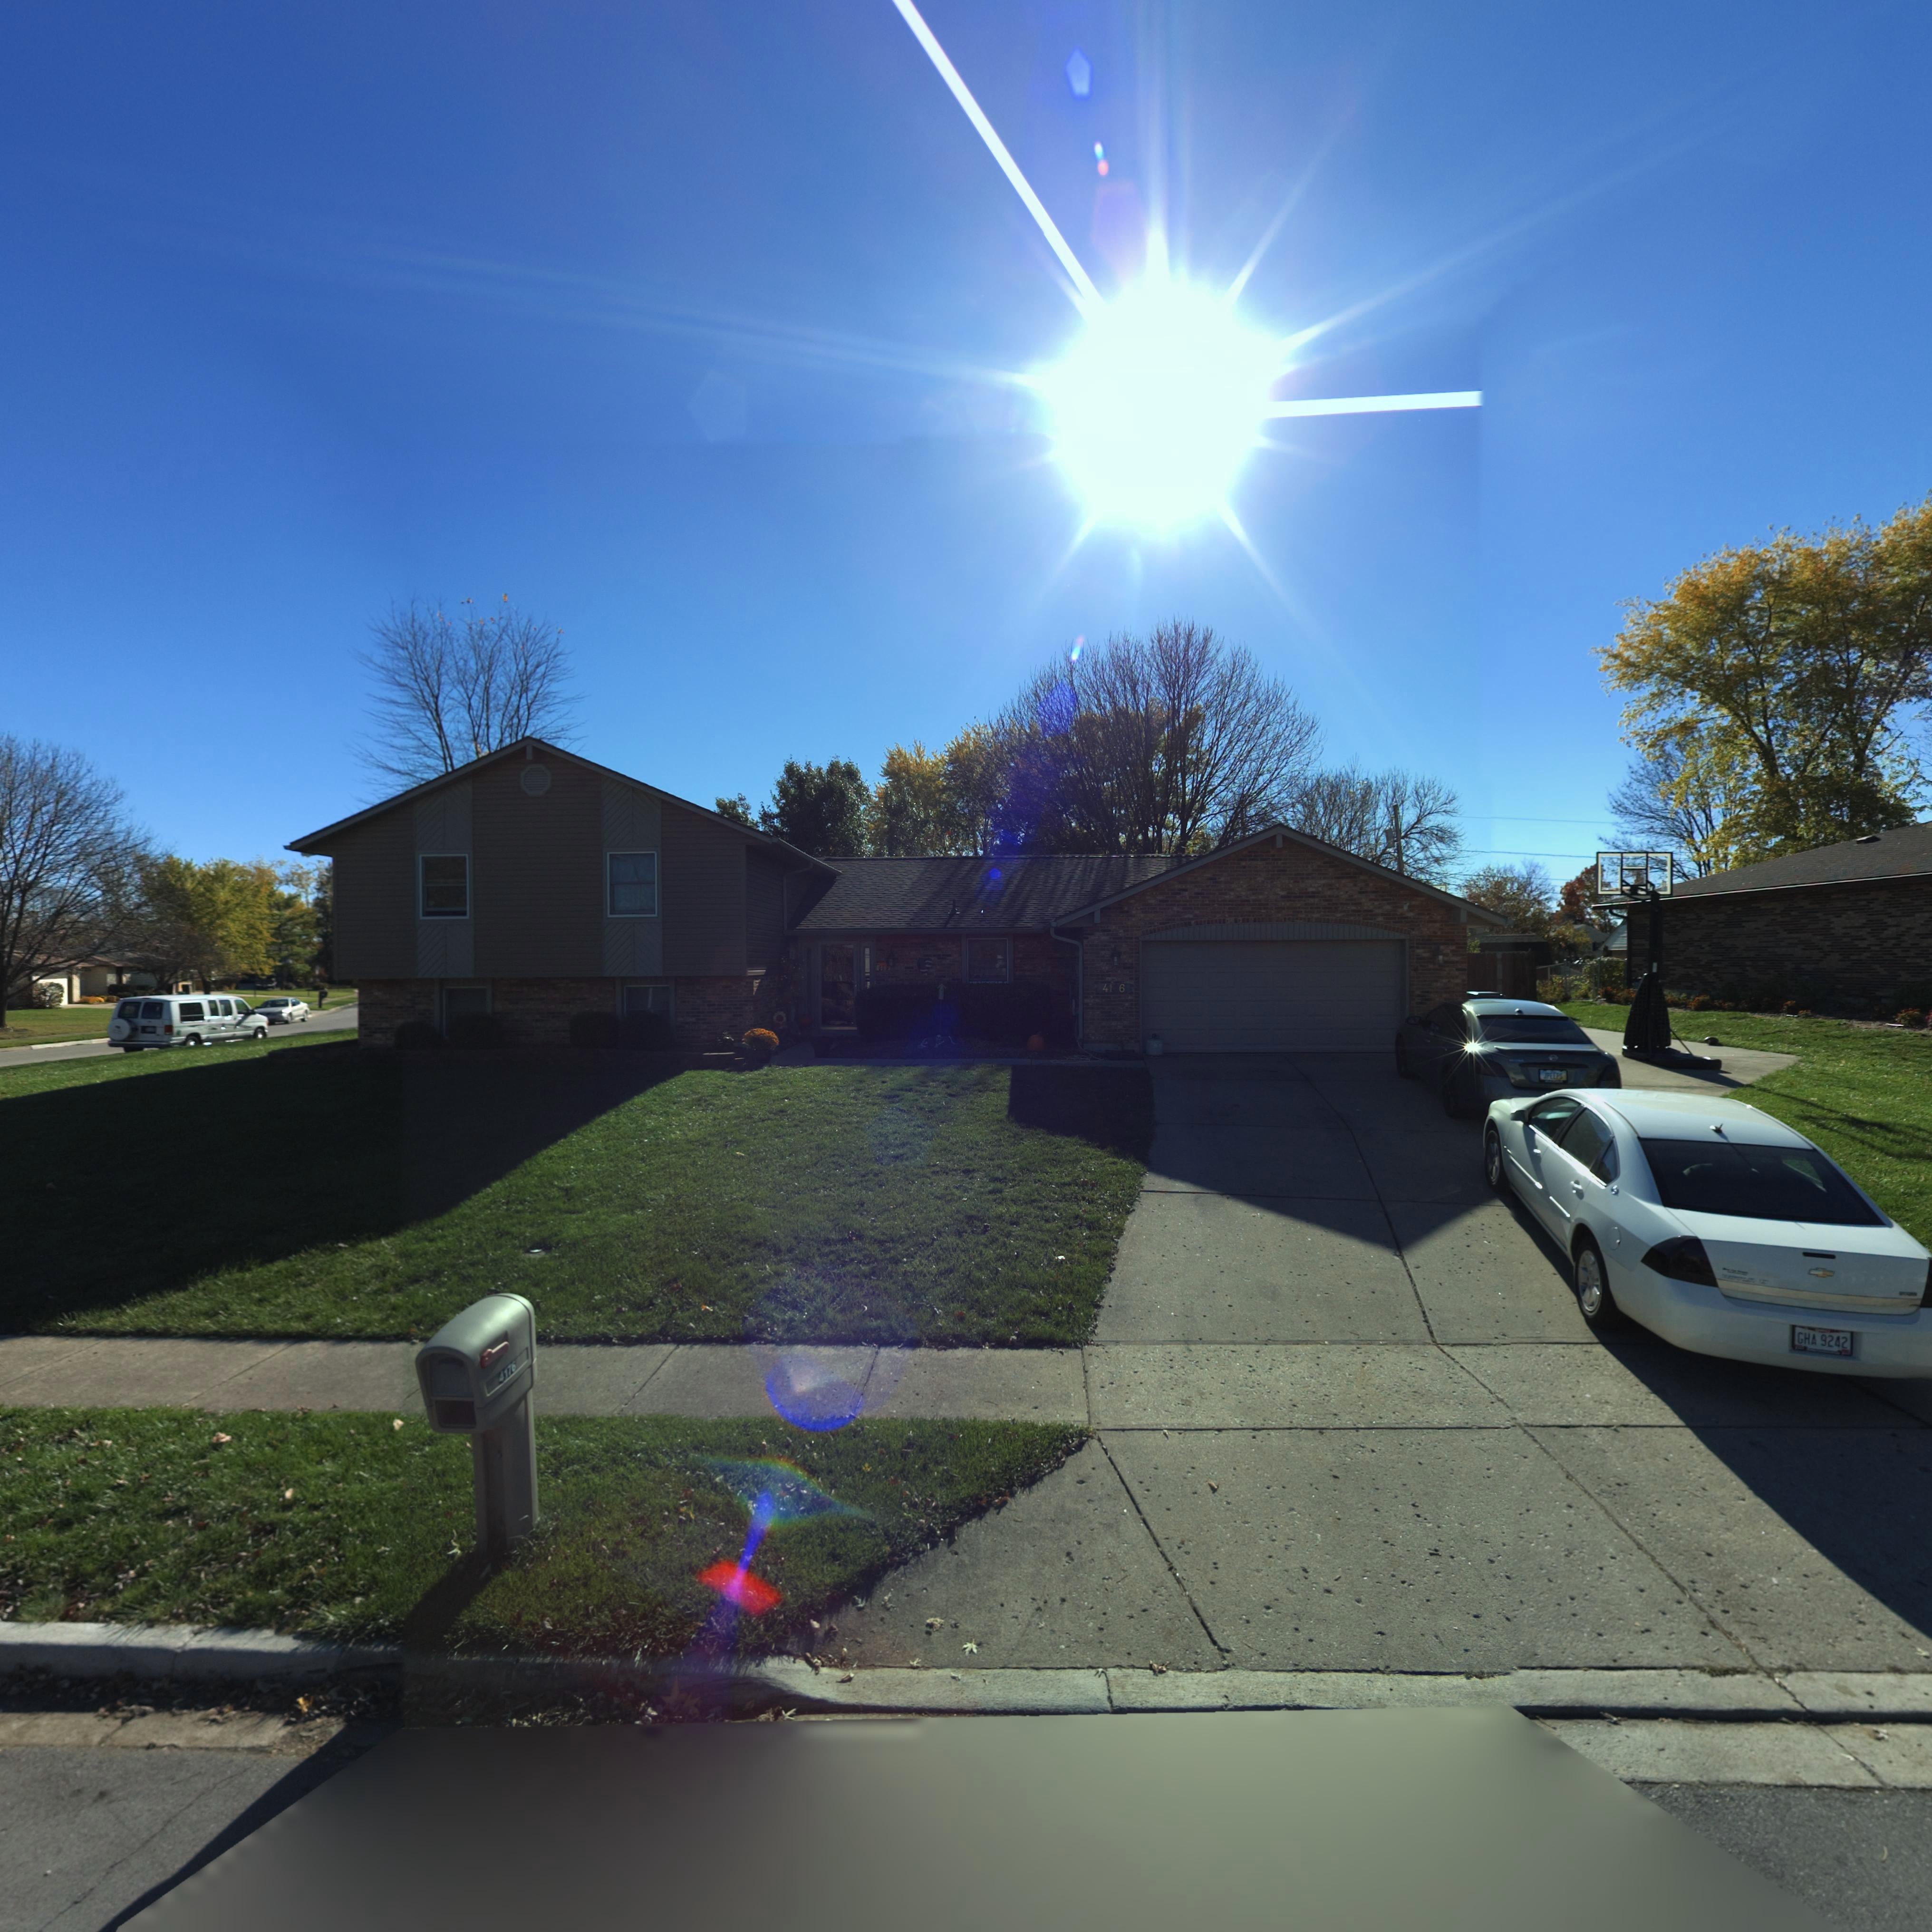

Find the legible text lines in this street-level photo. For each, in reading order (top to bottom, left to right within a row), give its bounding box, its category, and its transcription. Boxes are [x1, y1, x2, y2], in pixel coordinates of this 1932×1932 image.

[1101, 983, 1126, 994] StreetNumber: 41*6
[1542, 1072, 1564, 1080] None: JPEEPS
[1796, 1330, 1849, 1350] None: GHA*9242
[498, 1359, 517, 1383] StreetNumber: 4176